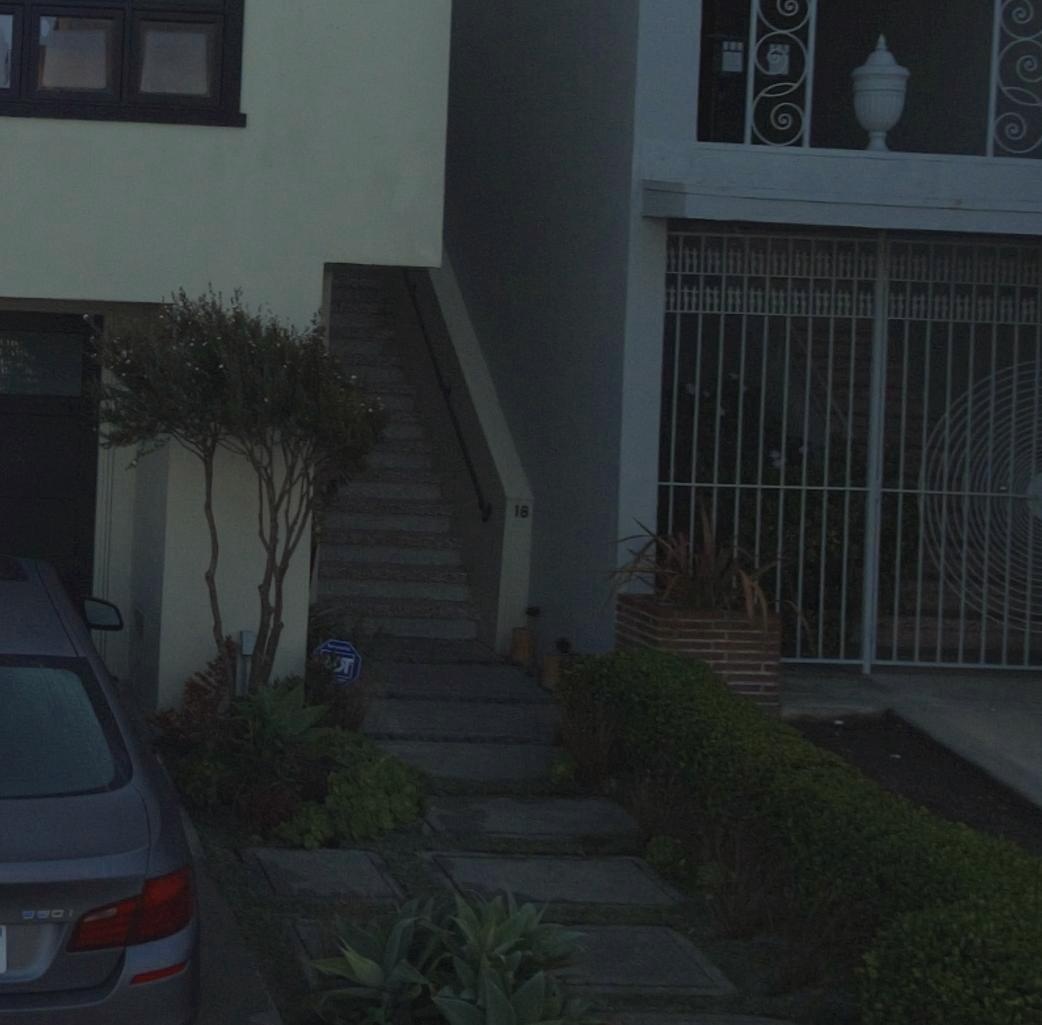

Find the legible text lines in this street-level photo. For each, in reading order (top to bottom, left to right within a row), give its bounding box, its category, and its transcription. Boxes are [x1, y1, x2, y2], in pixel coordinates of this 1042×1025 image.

[512, 502, 531, 521] StreetNumber: 18
[340, 655, 356, 676] None: T
[49, 906, 77, 921] None: 01